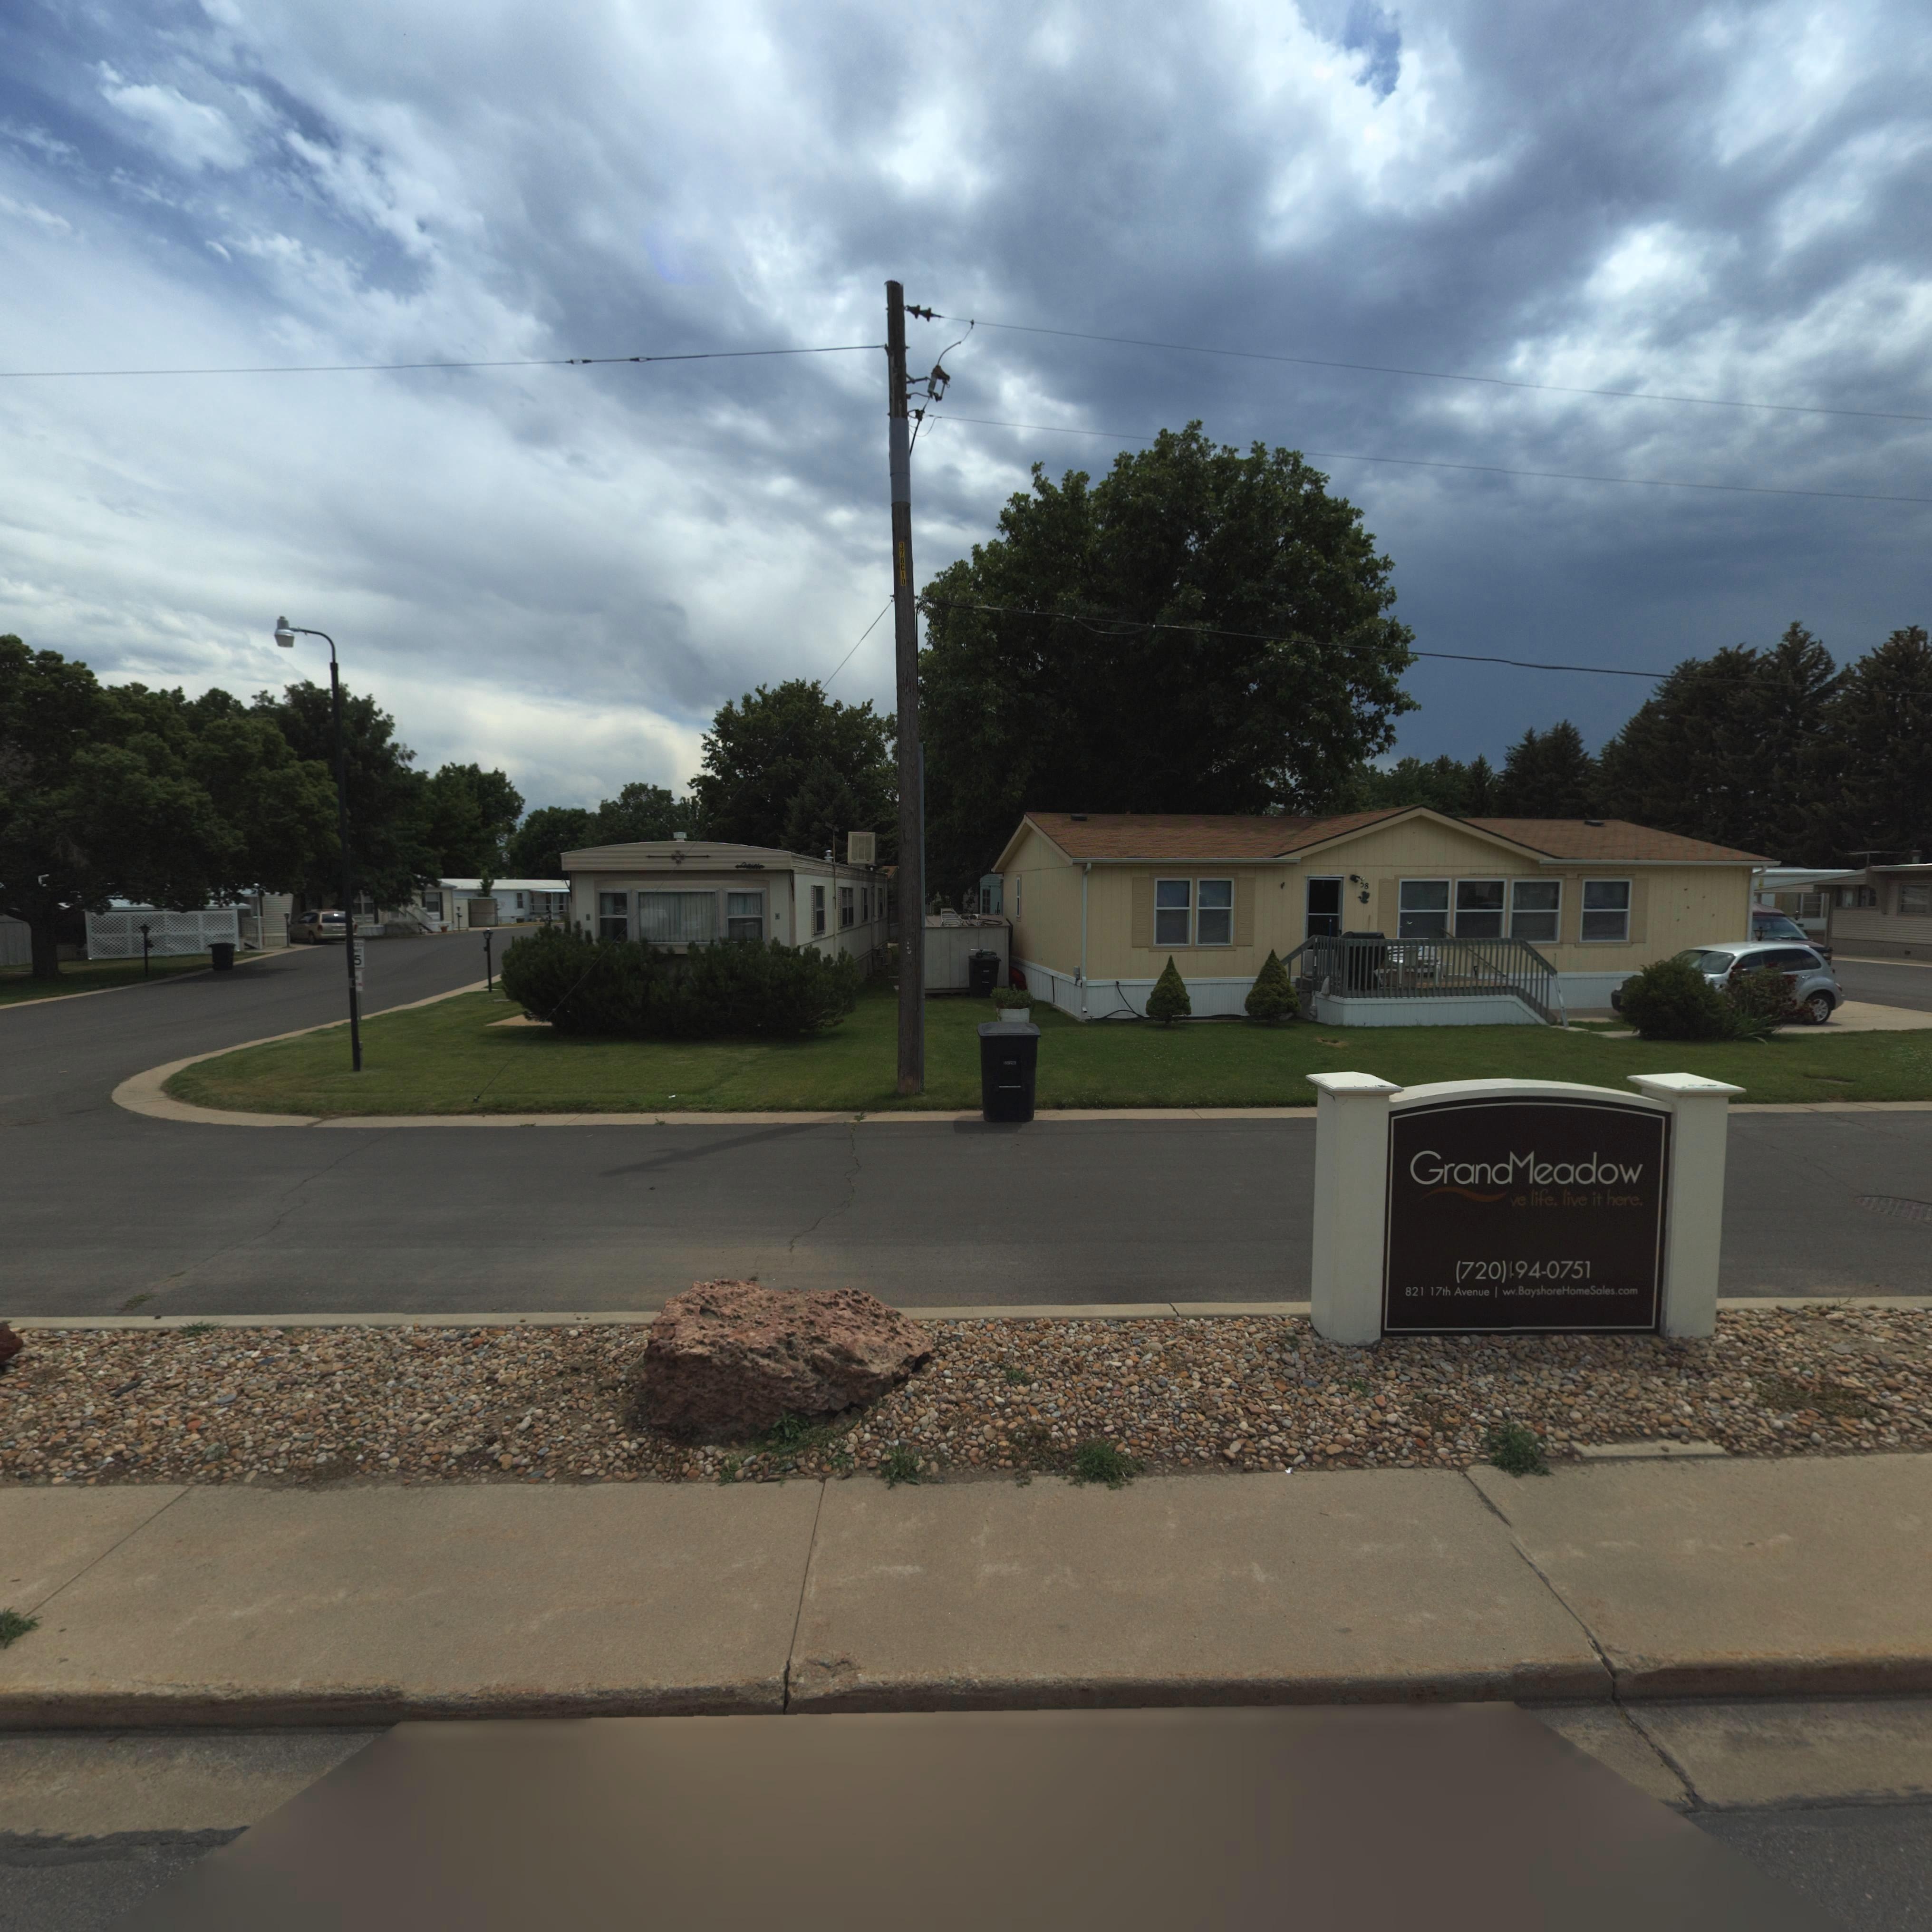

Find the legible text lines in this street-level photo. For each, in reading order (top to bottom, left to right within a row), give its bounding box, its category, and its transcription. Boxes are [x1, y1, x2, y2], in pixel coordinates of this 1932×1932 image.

[1360, 881, 1369, 890] StreetNumber: 58
[1404, 1286, 1425, 1297] StreetNumber: 821
[1429, 1285, 1490, 1297] StreetName: 17th Avenue